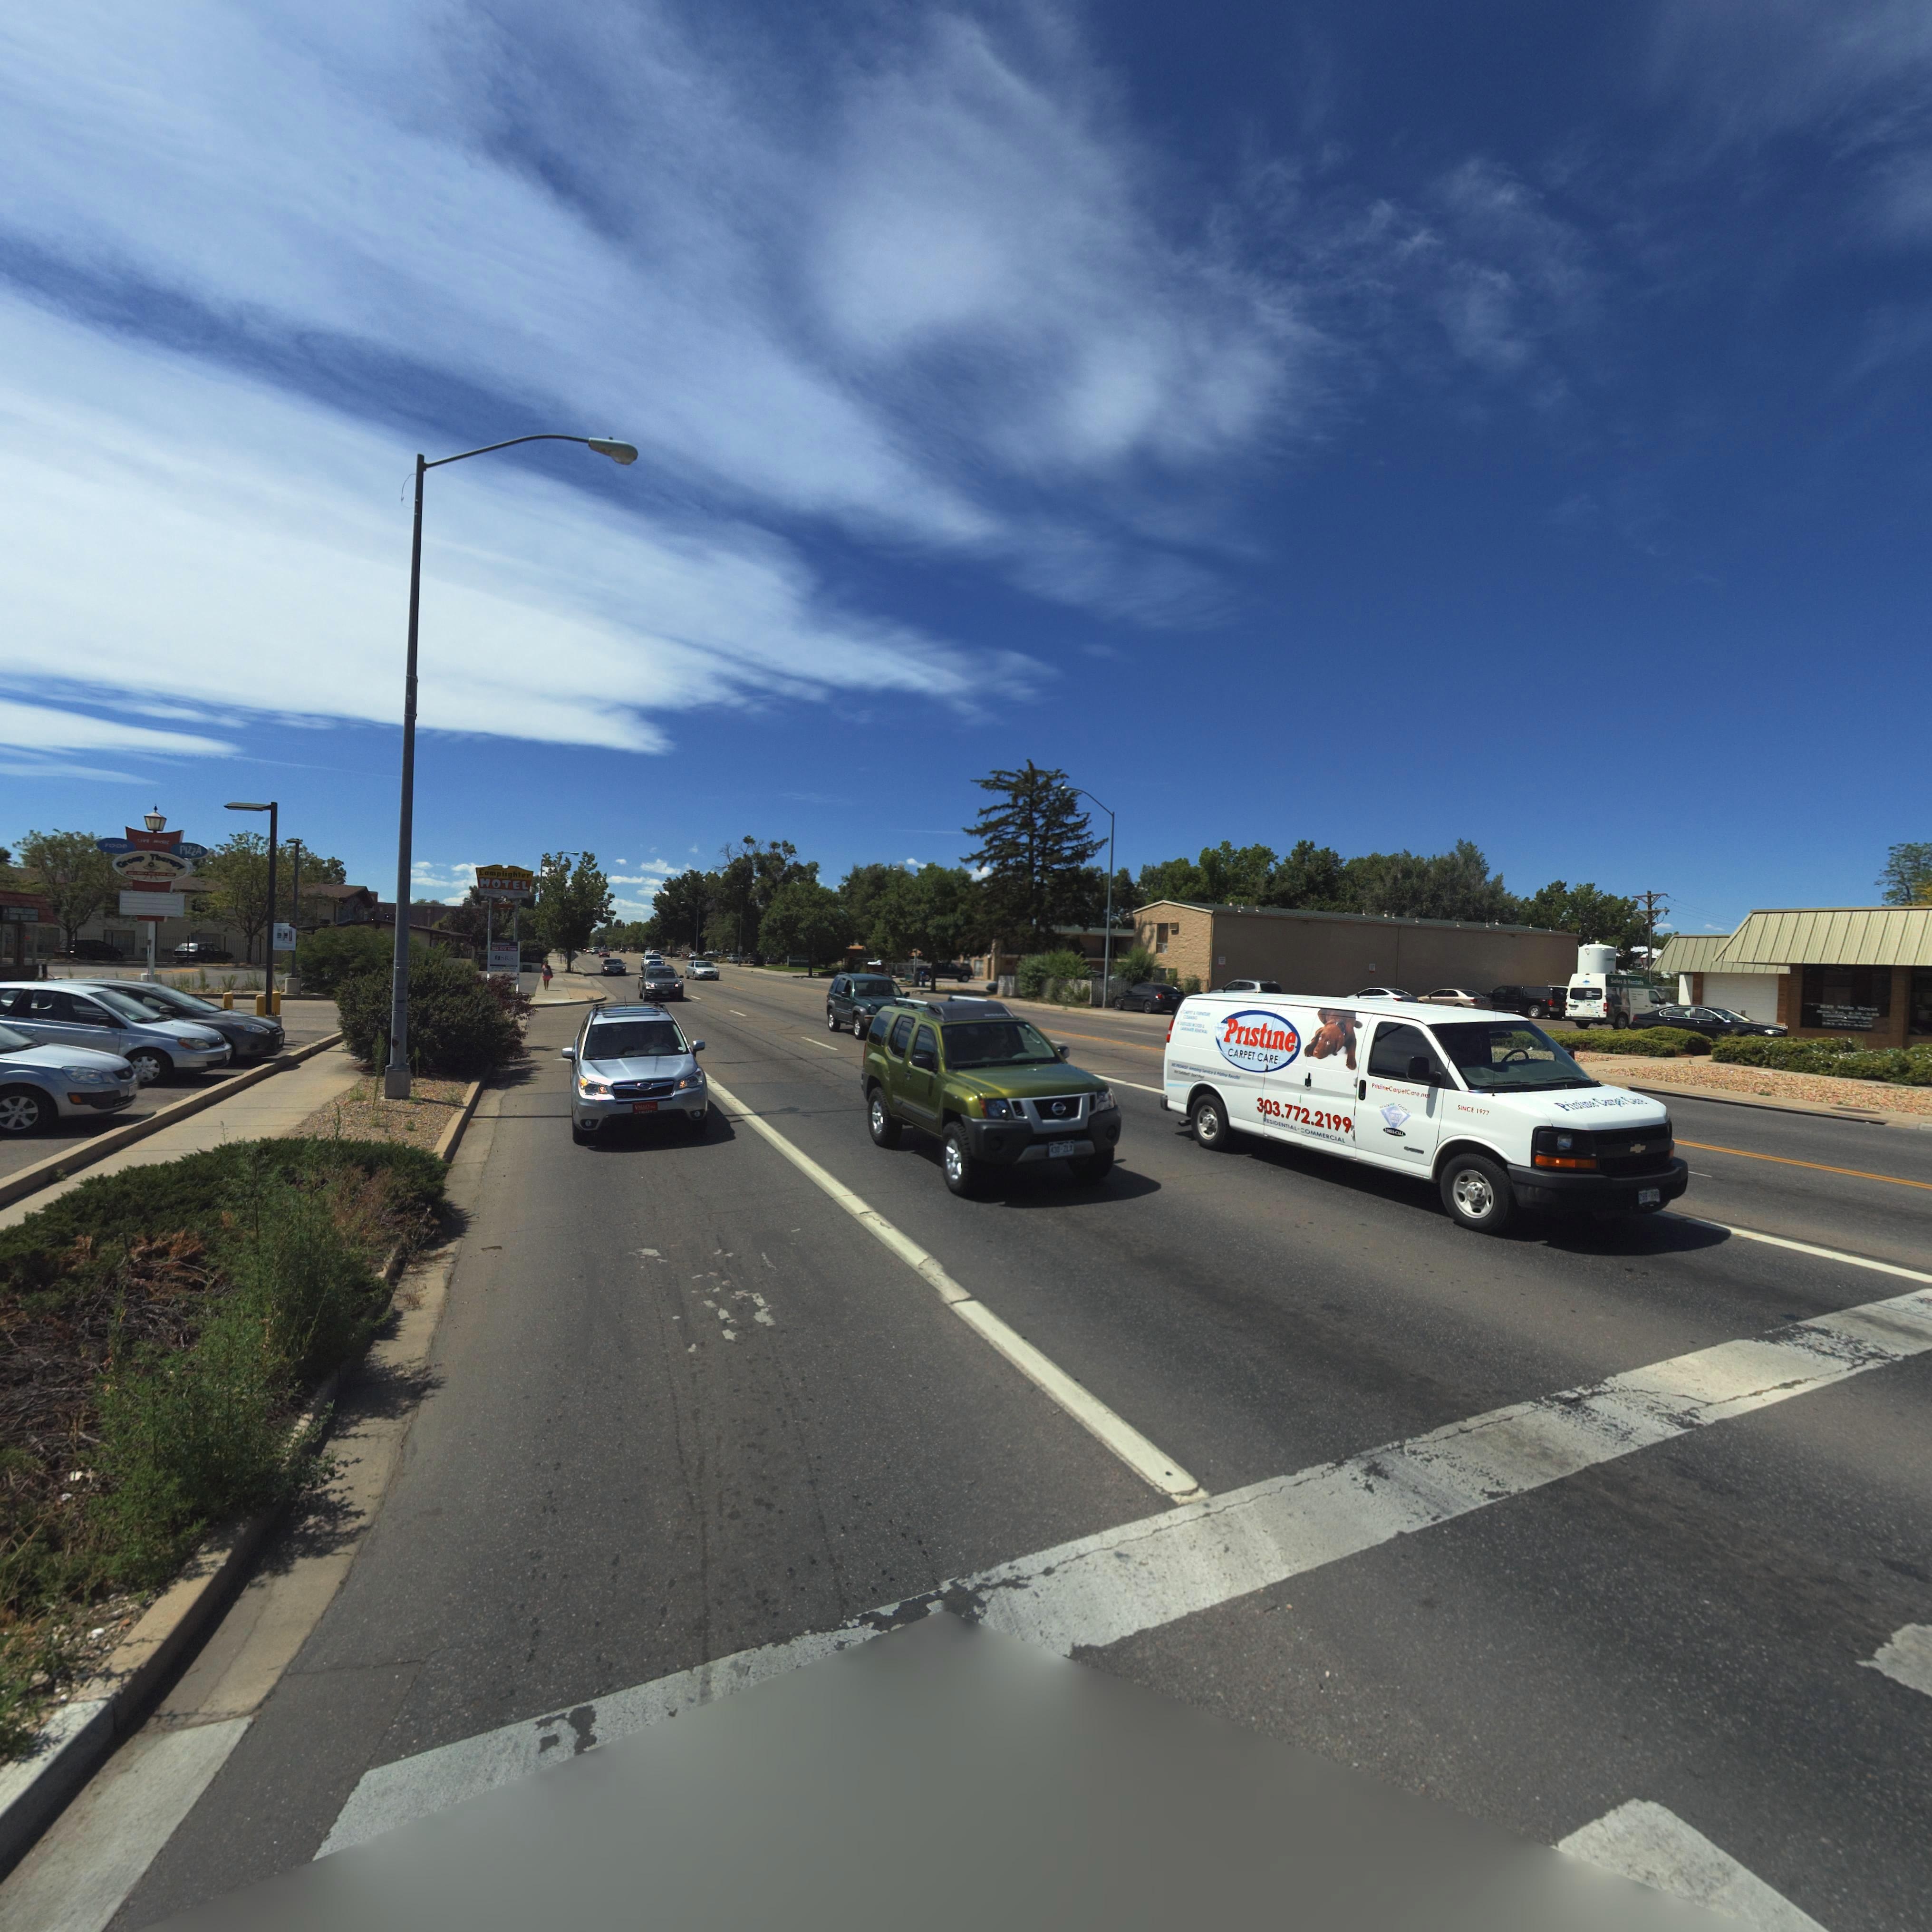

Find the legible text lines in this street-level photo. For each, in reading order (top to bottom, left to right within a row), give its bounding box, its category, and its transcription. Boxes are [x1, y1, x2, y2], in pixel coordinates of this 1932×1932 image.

[115, 853, 186, 870] BusinessName: Gro** T*er*py
[477, 867, 531, 879] BusinessName: Lamplighter
[479, 877, 529, 890] BusinessName: MOTEL
[1819, 1004, 1834, 1009] StreetNumber: 1**9
[1836, 1005, 1878, 1012] StreetName: M*in **r***